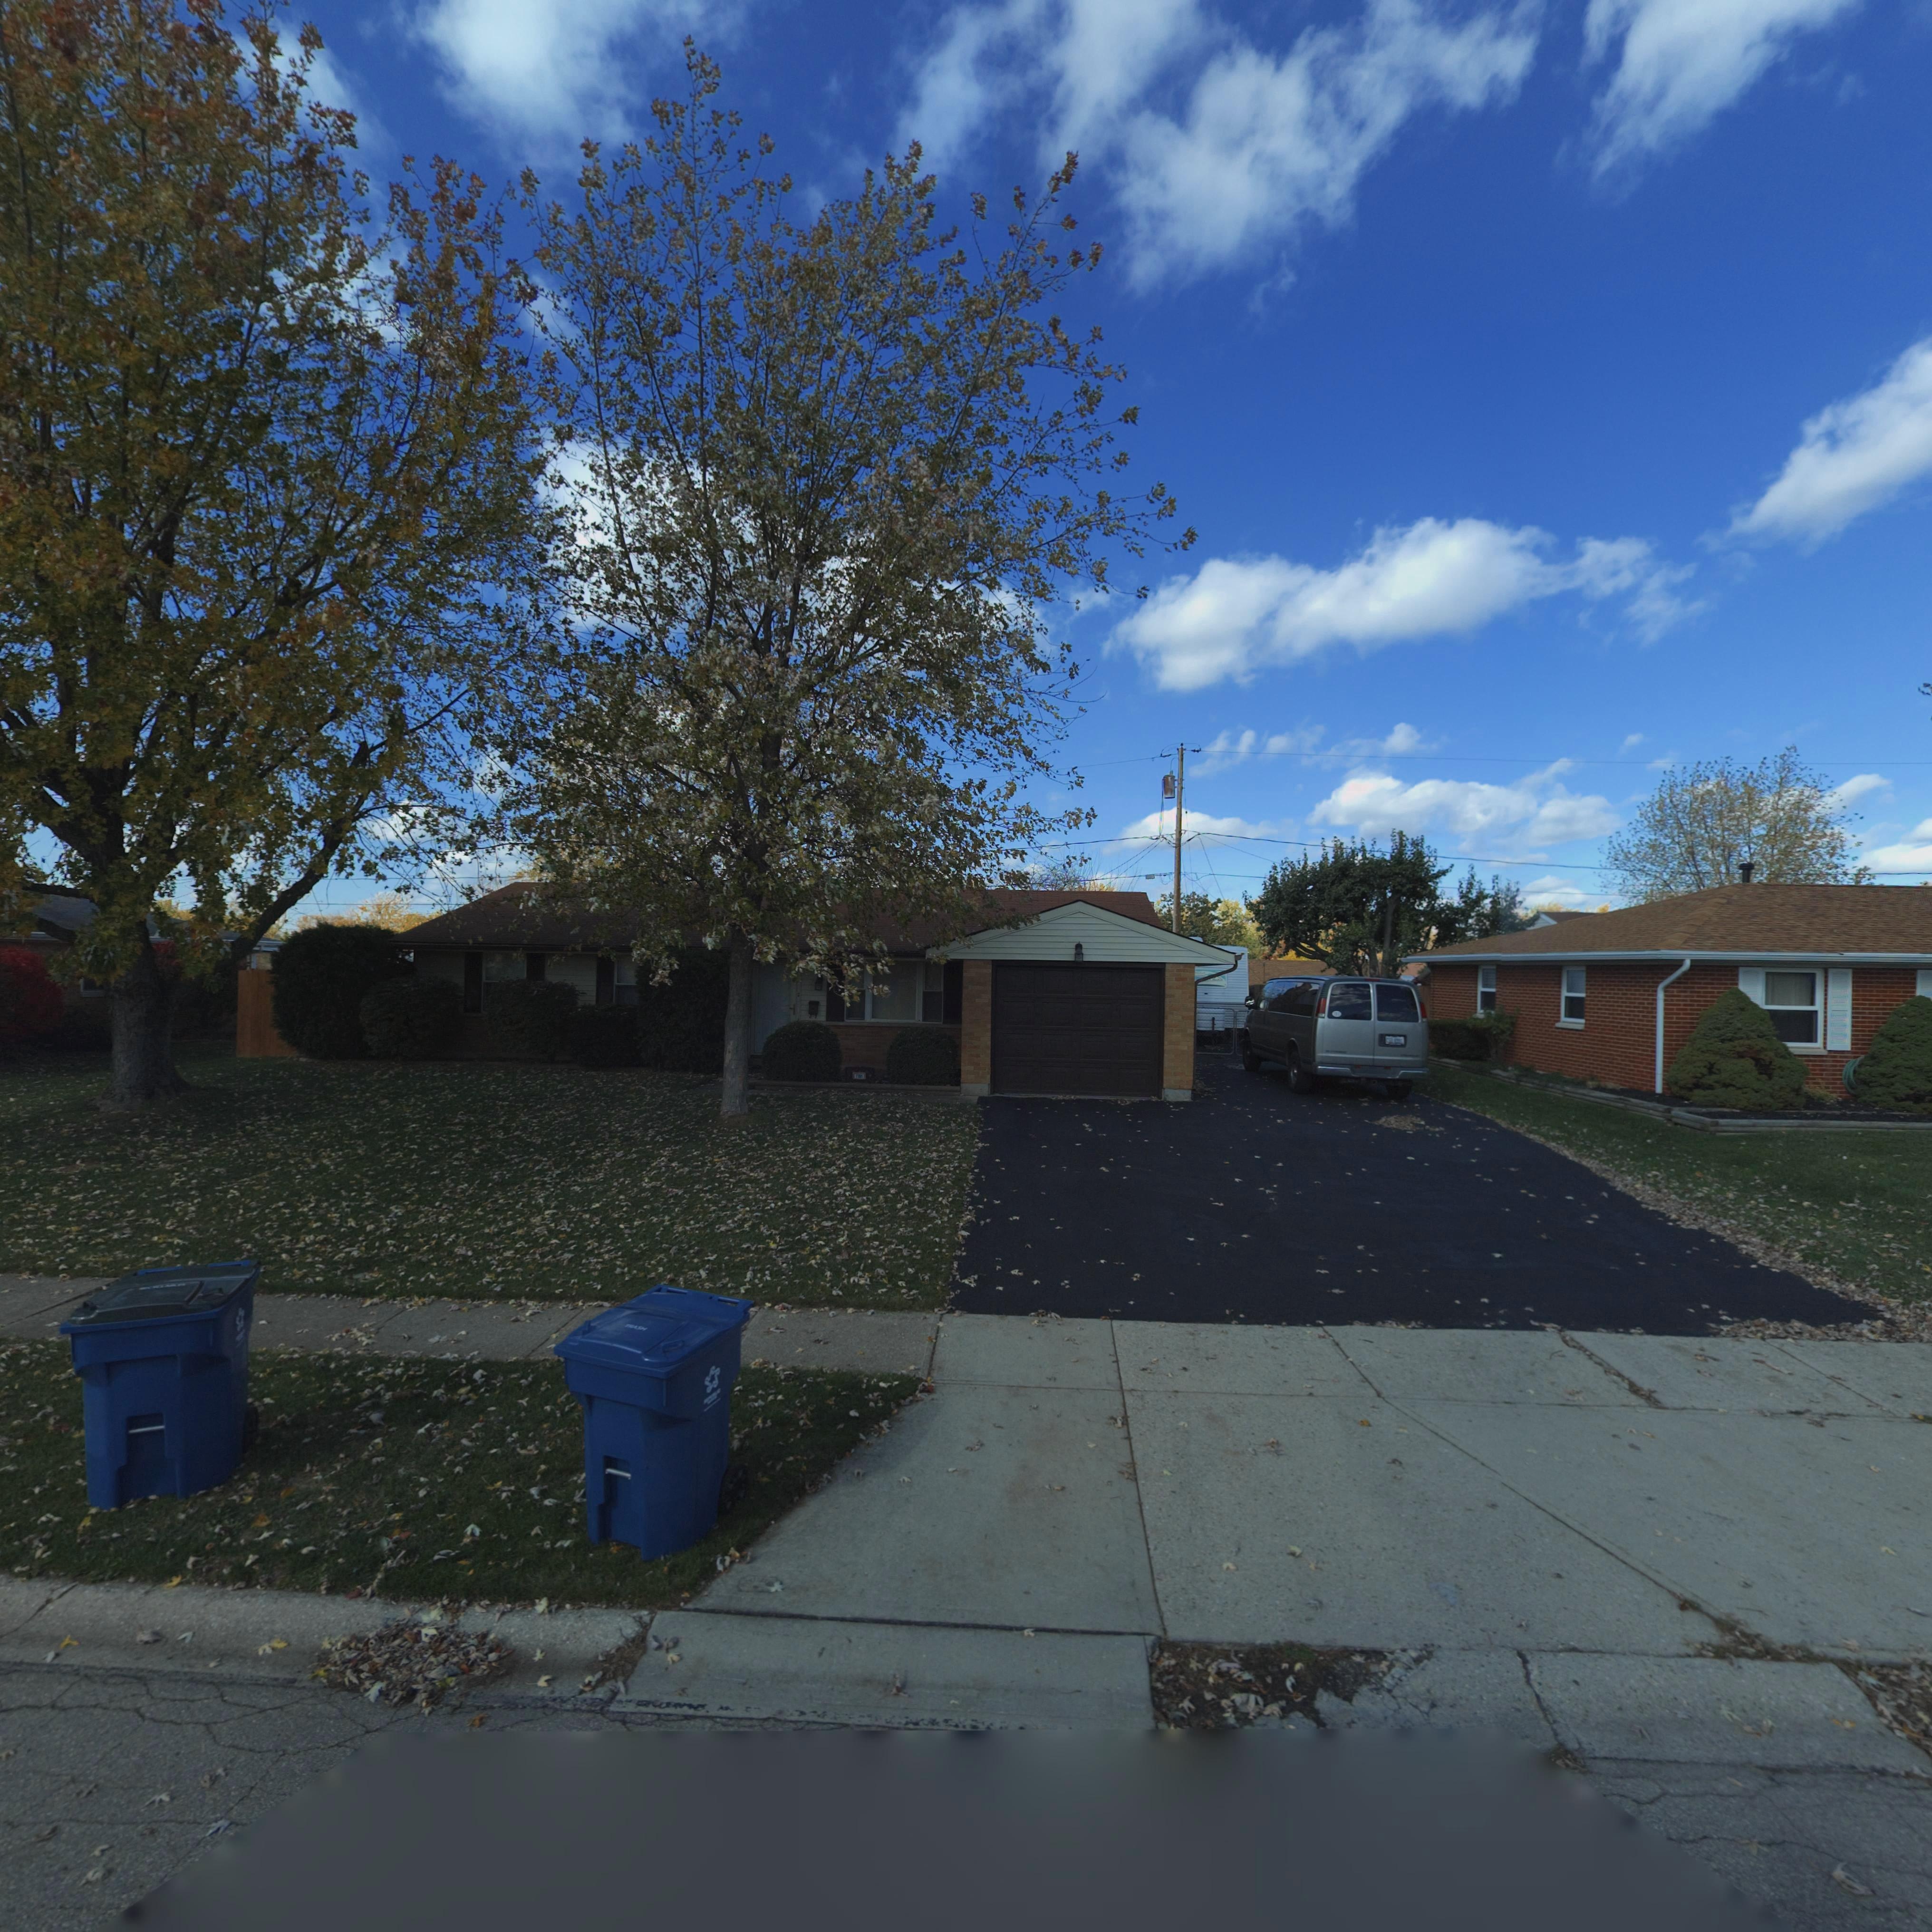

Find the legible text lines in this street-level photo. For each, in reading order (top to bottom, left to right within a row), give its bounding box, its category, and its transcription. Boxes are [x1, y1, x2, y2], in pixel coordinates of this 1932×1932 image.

[854, 1073, 863, 1079] StreetNumber: 7701